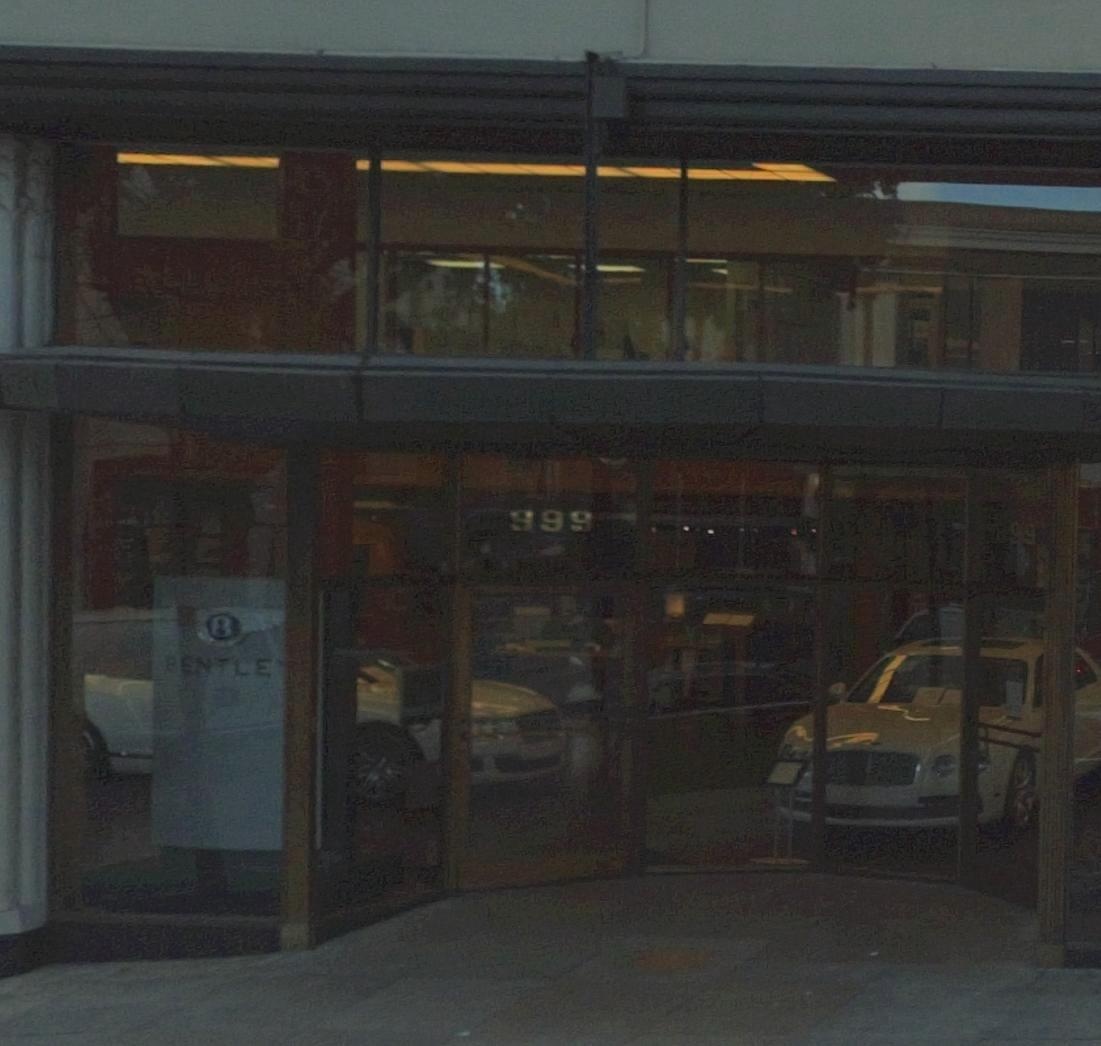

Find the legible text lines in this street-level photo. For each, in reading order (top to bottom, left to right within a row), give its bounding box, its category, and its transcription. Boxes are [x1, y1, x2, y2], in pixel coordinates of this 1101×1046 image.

[506, 506, 596, 535] StreetNumber: 999
[208, 612, 235, 640] None: B
[163, 654, 277, 678] BusinessName: BENTLE